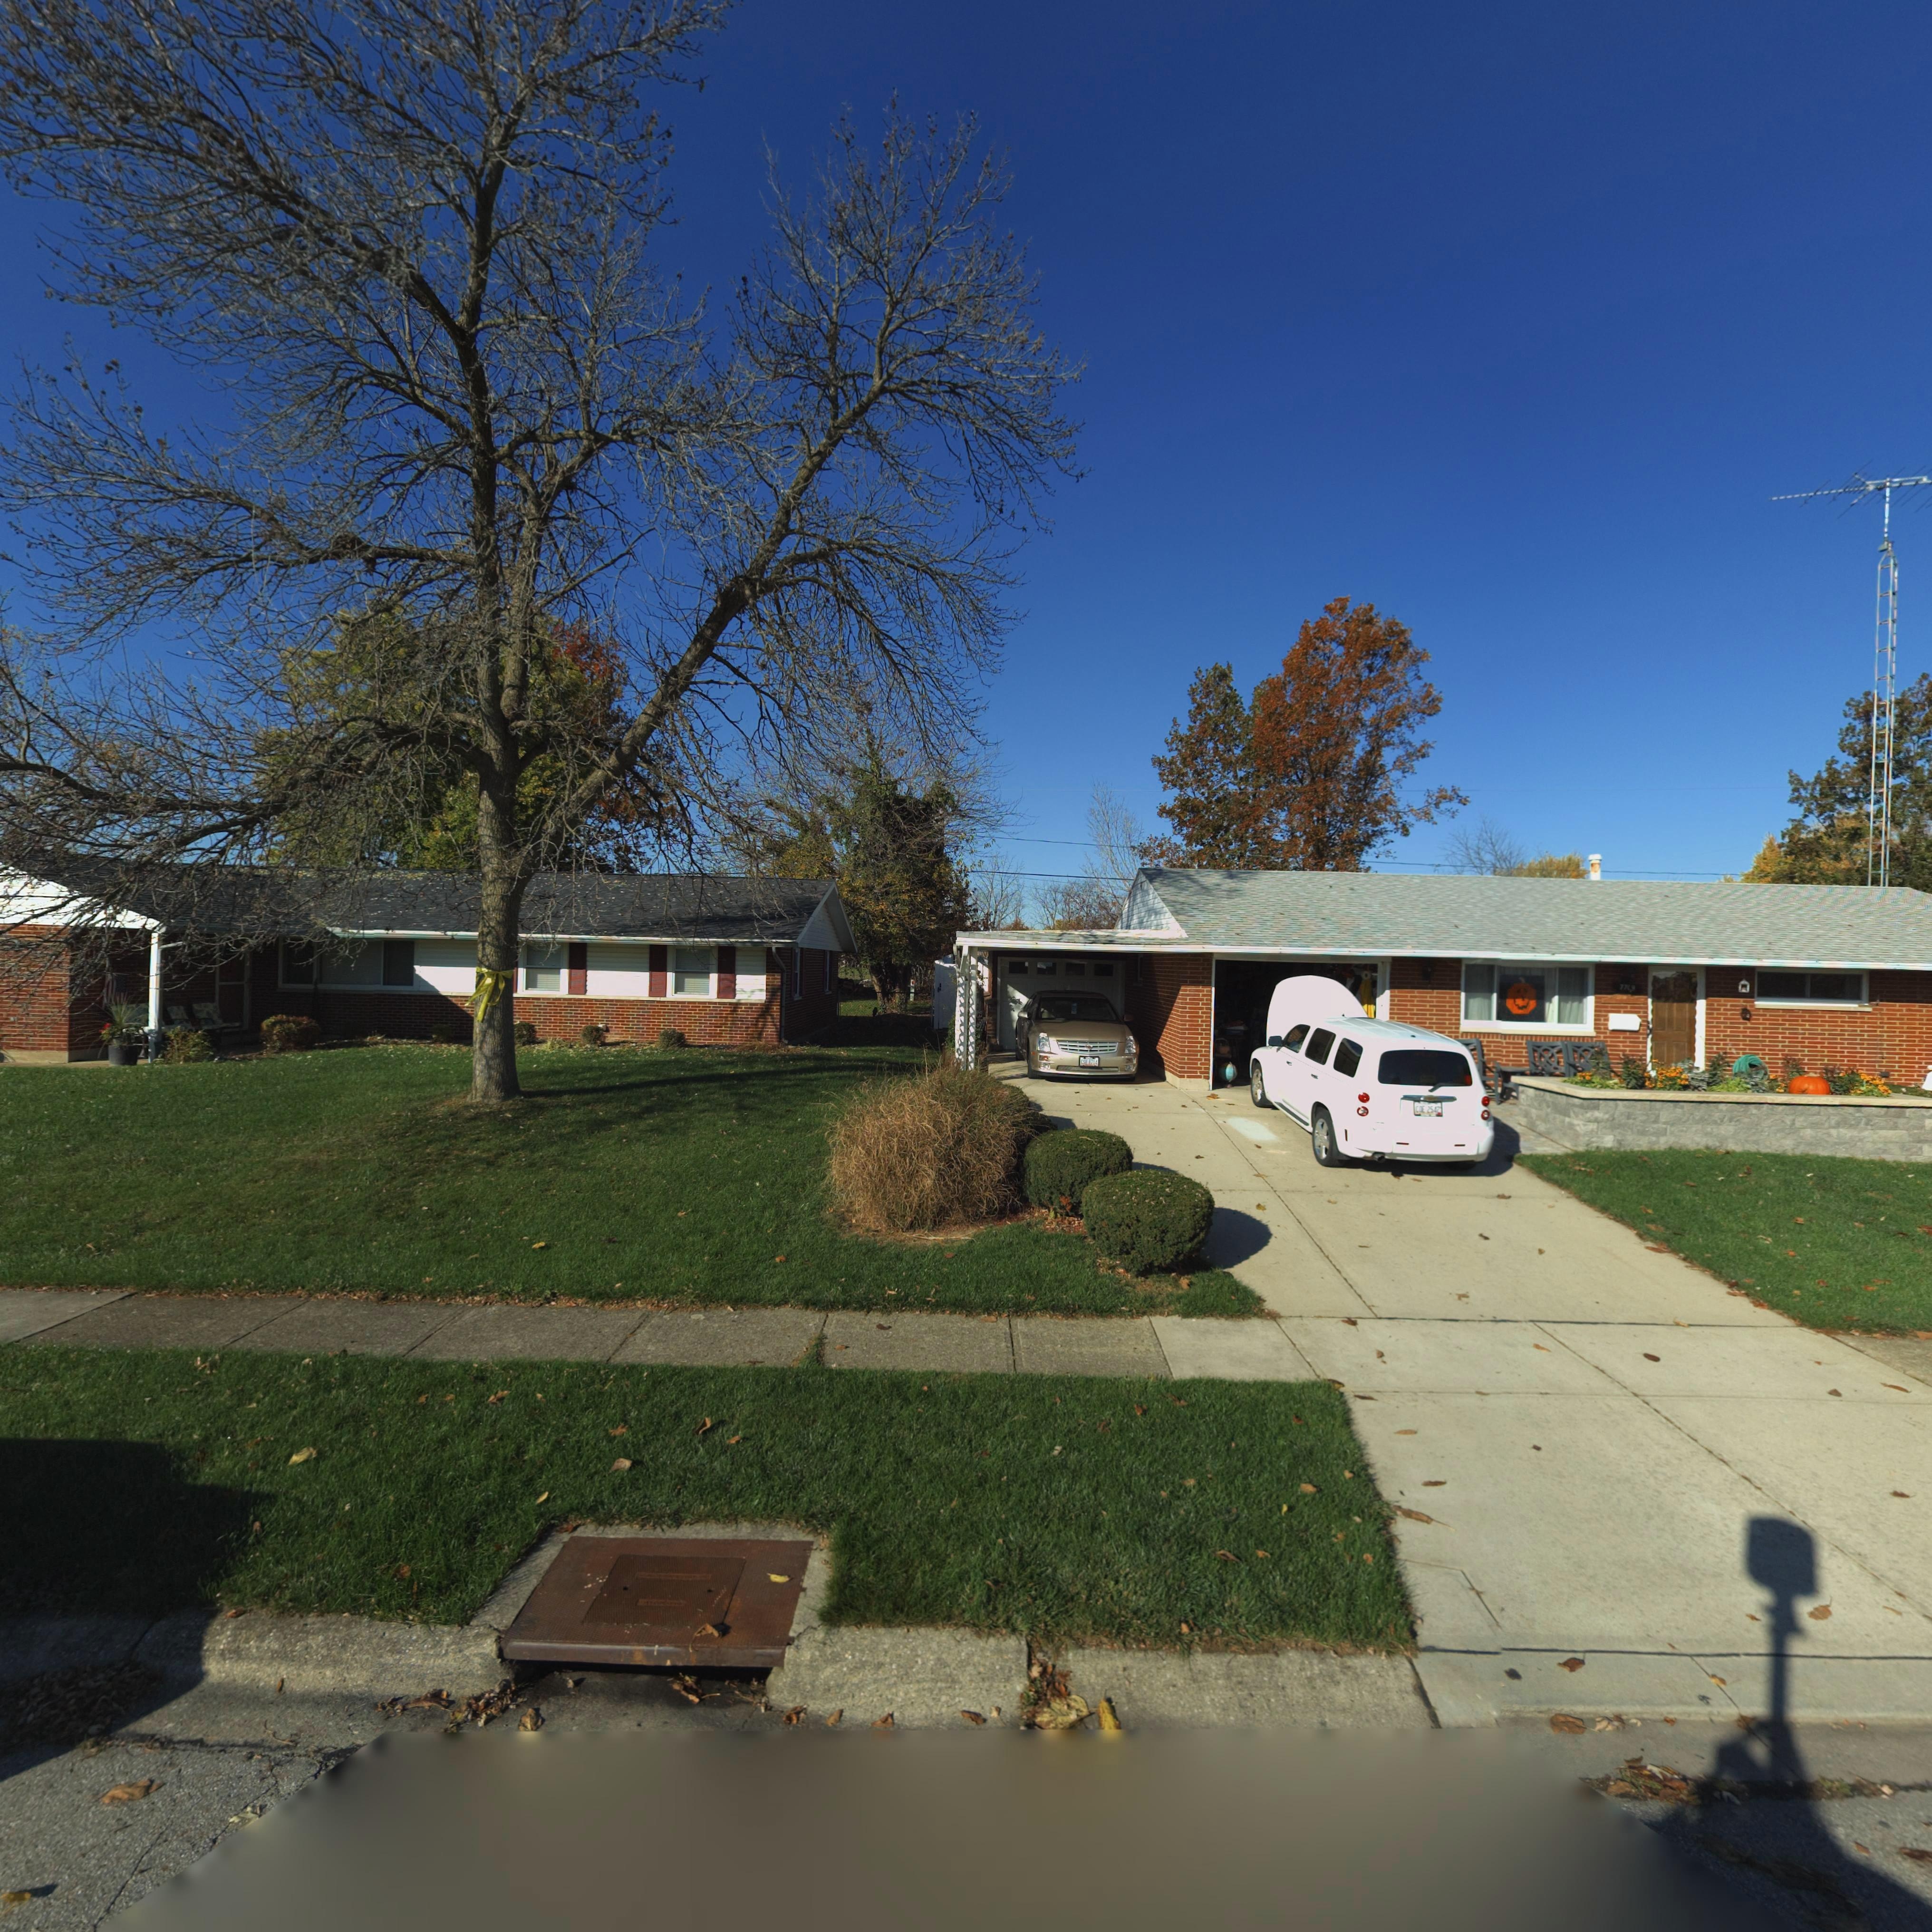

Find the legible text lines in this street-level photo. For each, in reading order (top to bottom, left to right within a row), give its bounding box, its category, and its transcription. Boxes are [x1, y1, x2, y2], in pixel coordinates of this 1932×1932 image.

[1618, 983, 1638, 993] StreetNumber: 7**9